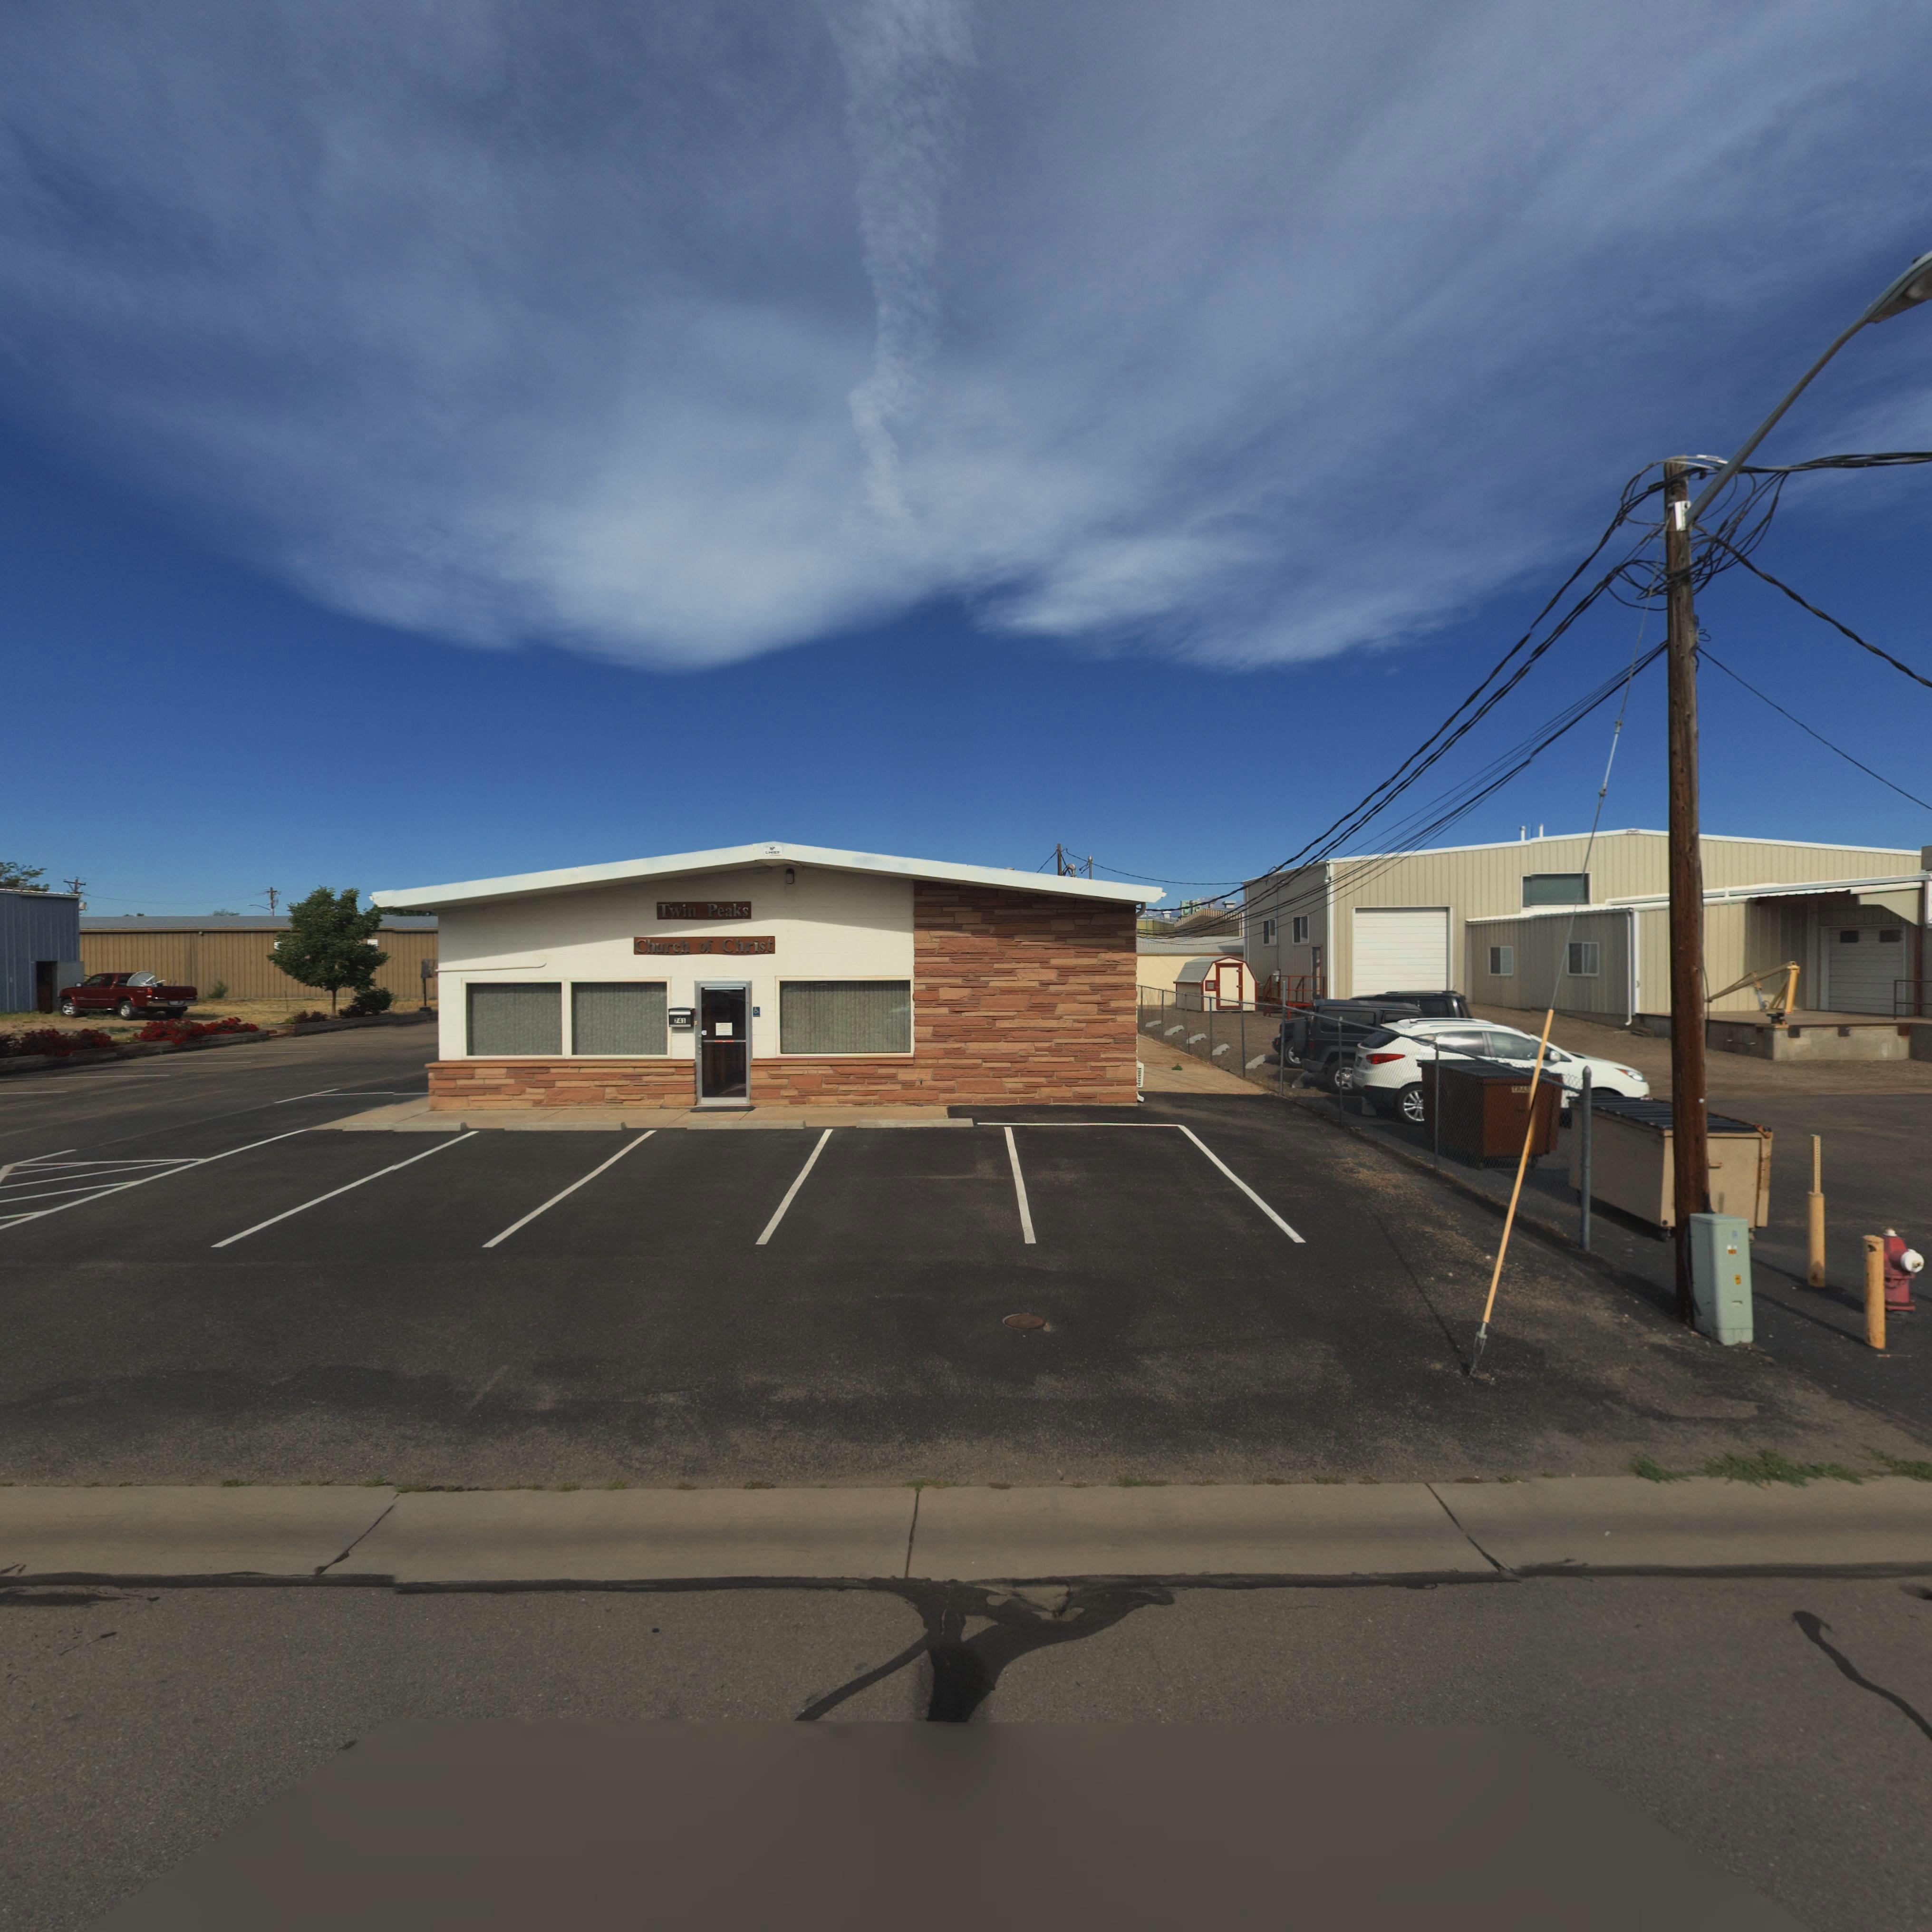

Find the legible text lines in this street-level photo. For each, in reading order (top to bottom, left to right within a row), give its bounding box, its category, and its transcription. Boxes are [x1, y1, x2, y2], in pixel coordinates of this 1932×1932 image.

[656, 901, 751, 920] BusinessName: Twin Peaks
[634, 936, 775, 954] BusinessName: Church of Christ
[674, 1017, 686, 1023] StreetNumber: 741